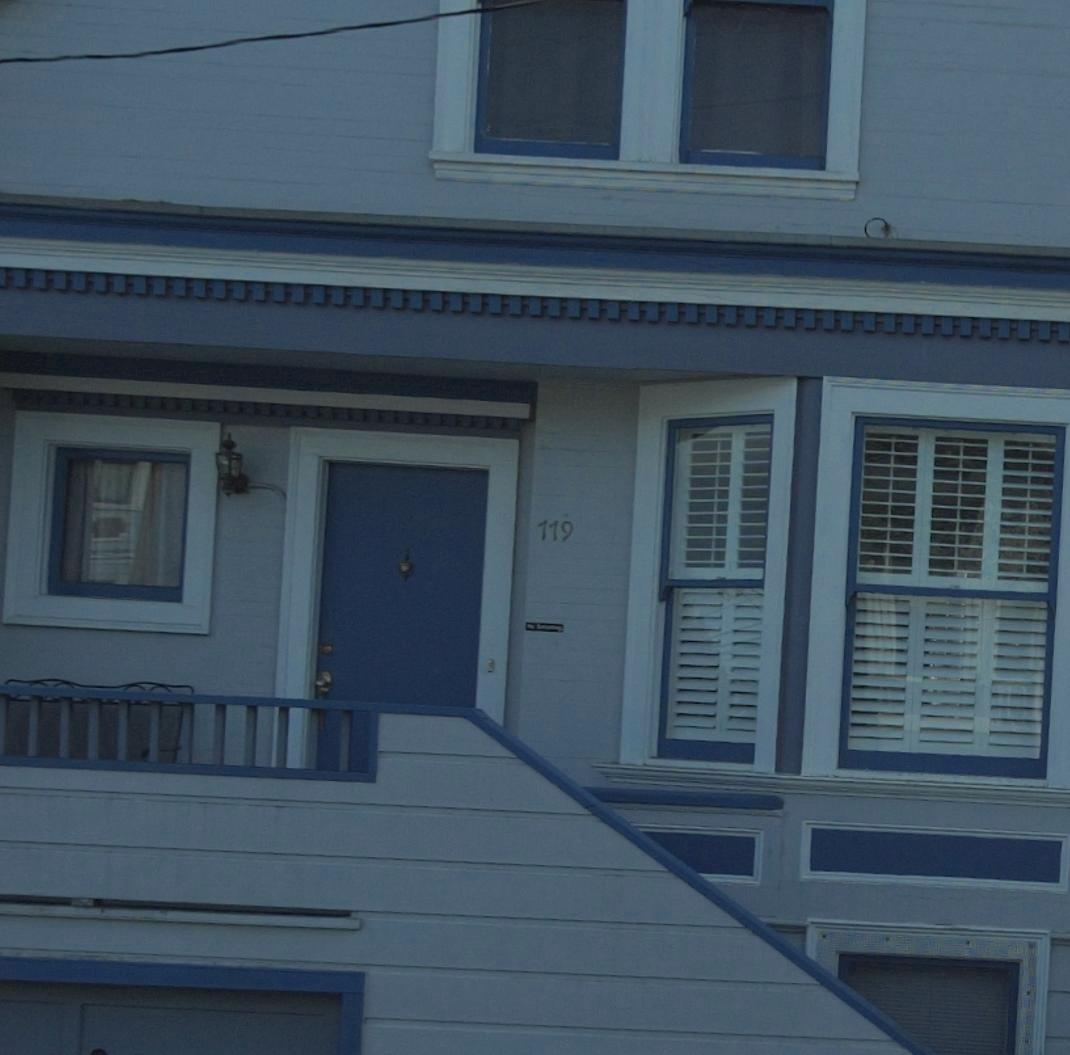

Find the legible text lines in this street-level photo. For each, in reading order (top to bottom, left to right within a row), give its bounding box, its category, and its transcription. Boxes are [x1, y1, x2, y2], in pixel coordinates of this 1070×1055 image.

[536, 519, 574, 541] StreetNumber: 119